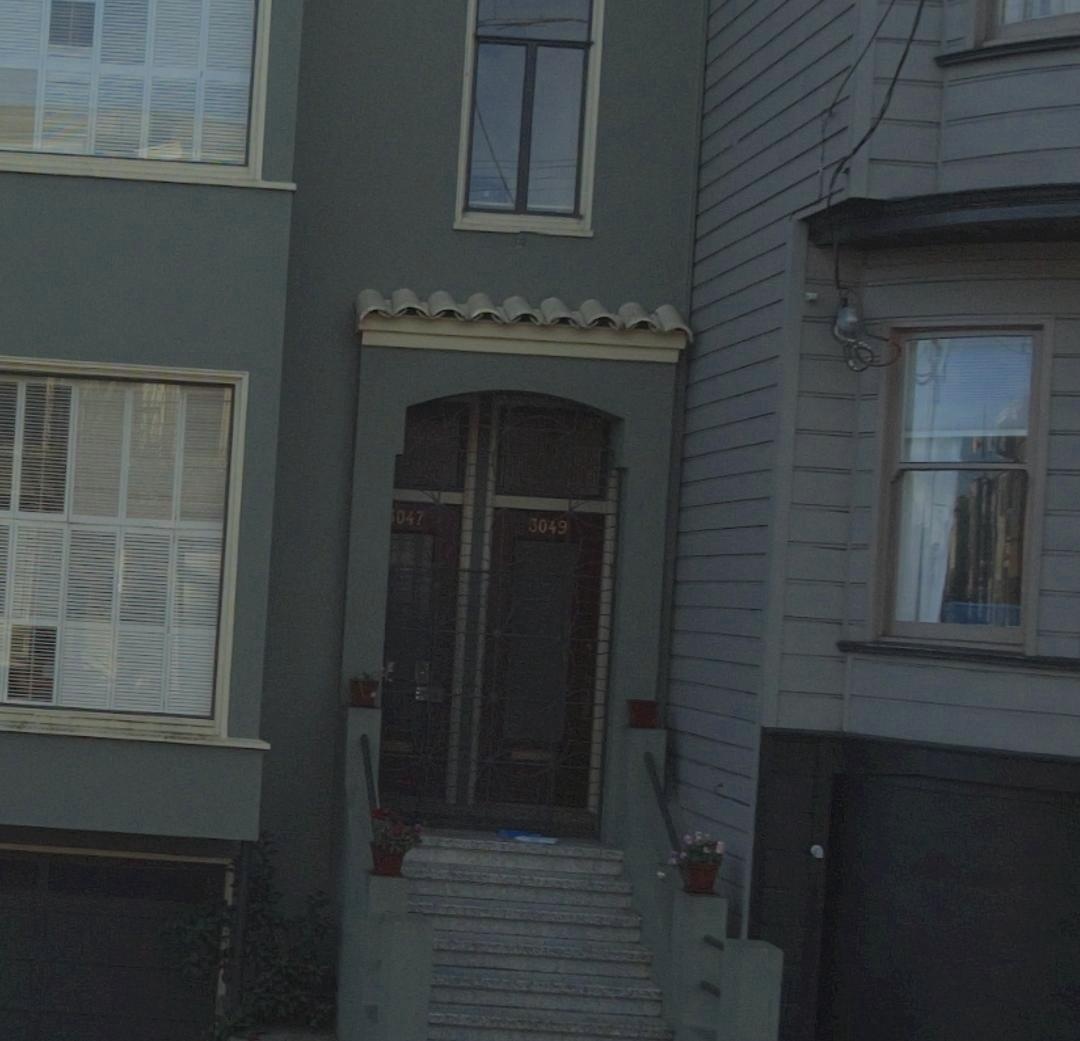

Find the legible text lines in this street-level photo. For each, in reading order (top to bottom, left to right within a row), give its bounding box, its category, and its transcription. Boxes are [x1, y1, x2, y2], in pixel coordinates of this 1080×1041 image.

[393, 506, 428, 528] StreetNumber: 047
[523, 514, 572, 539] StreetNumber: 3049